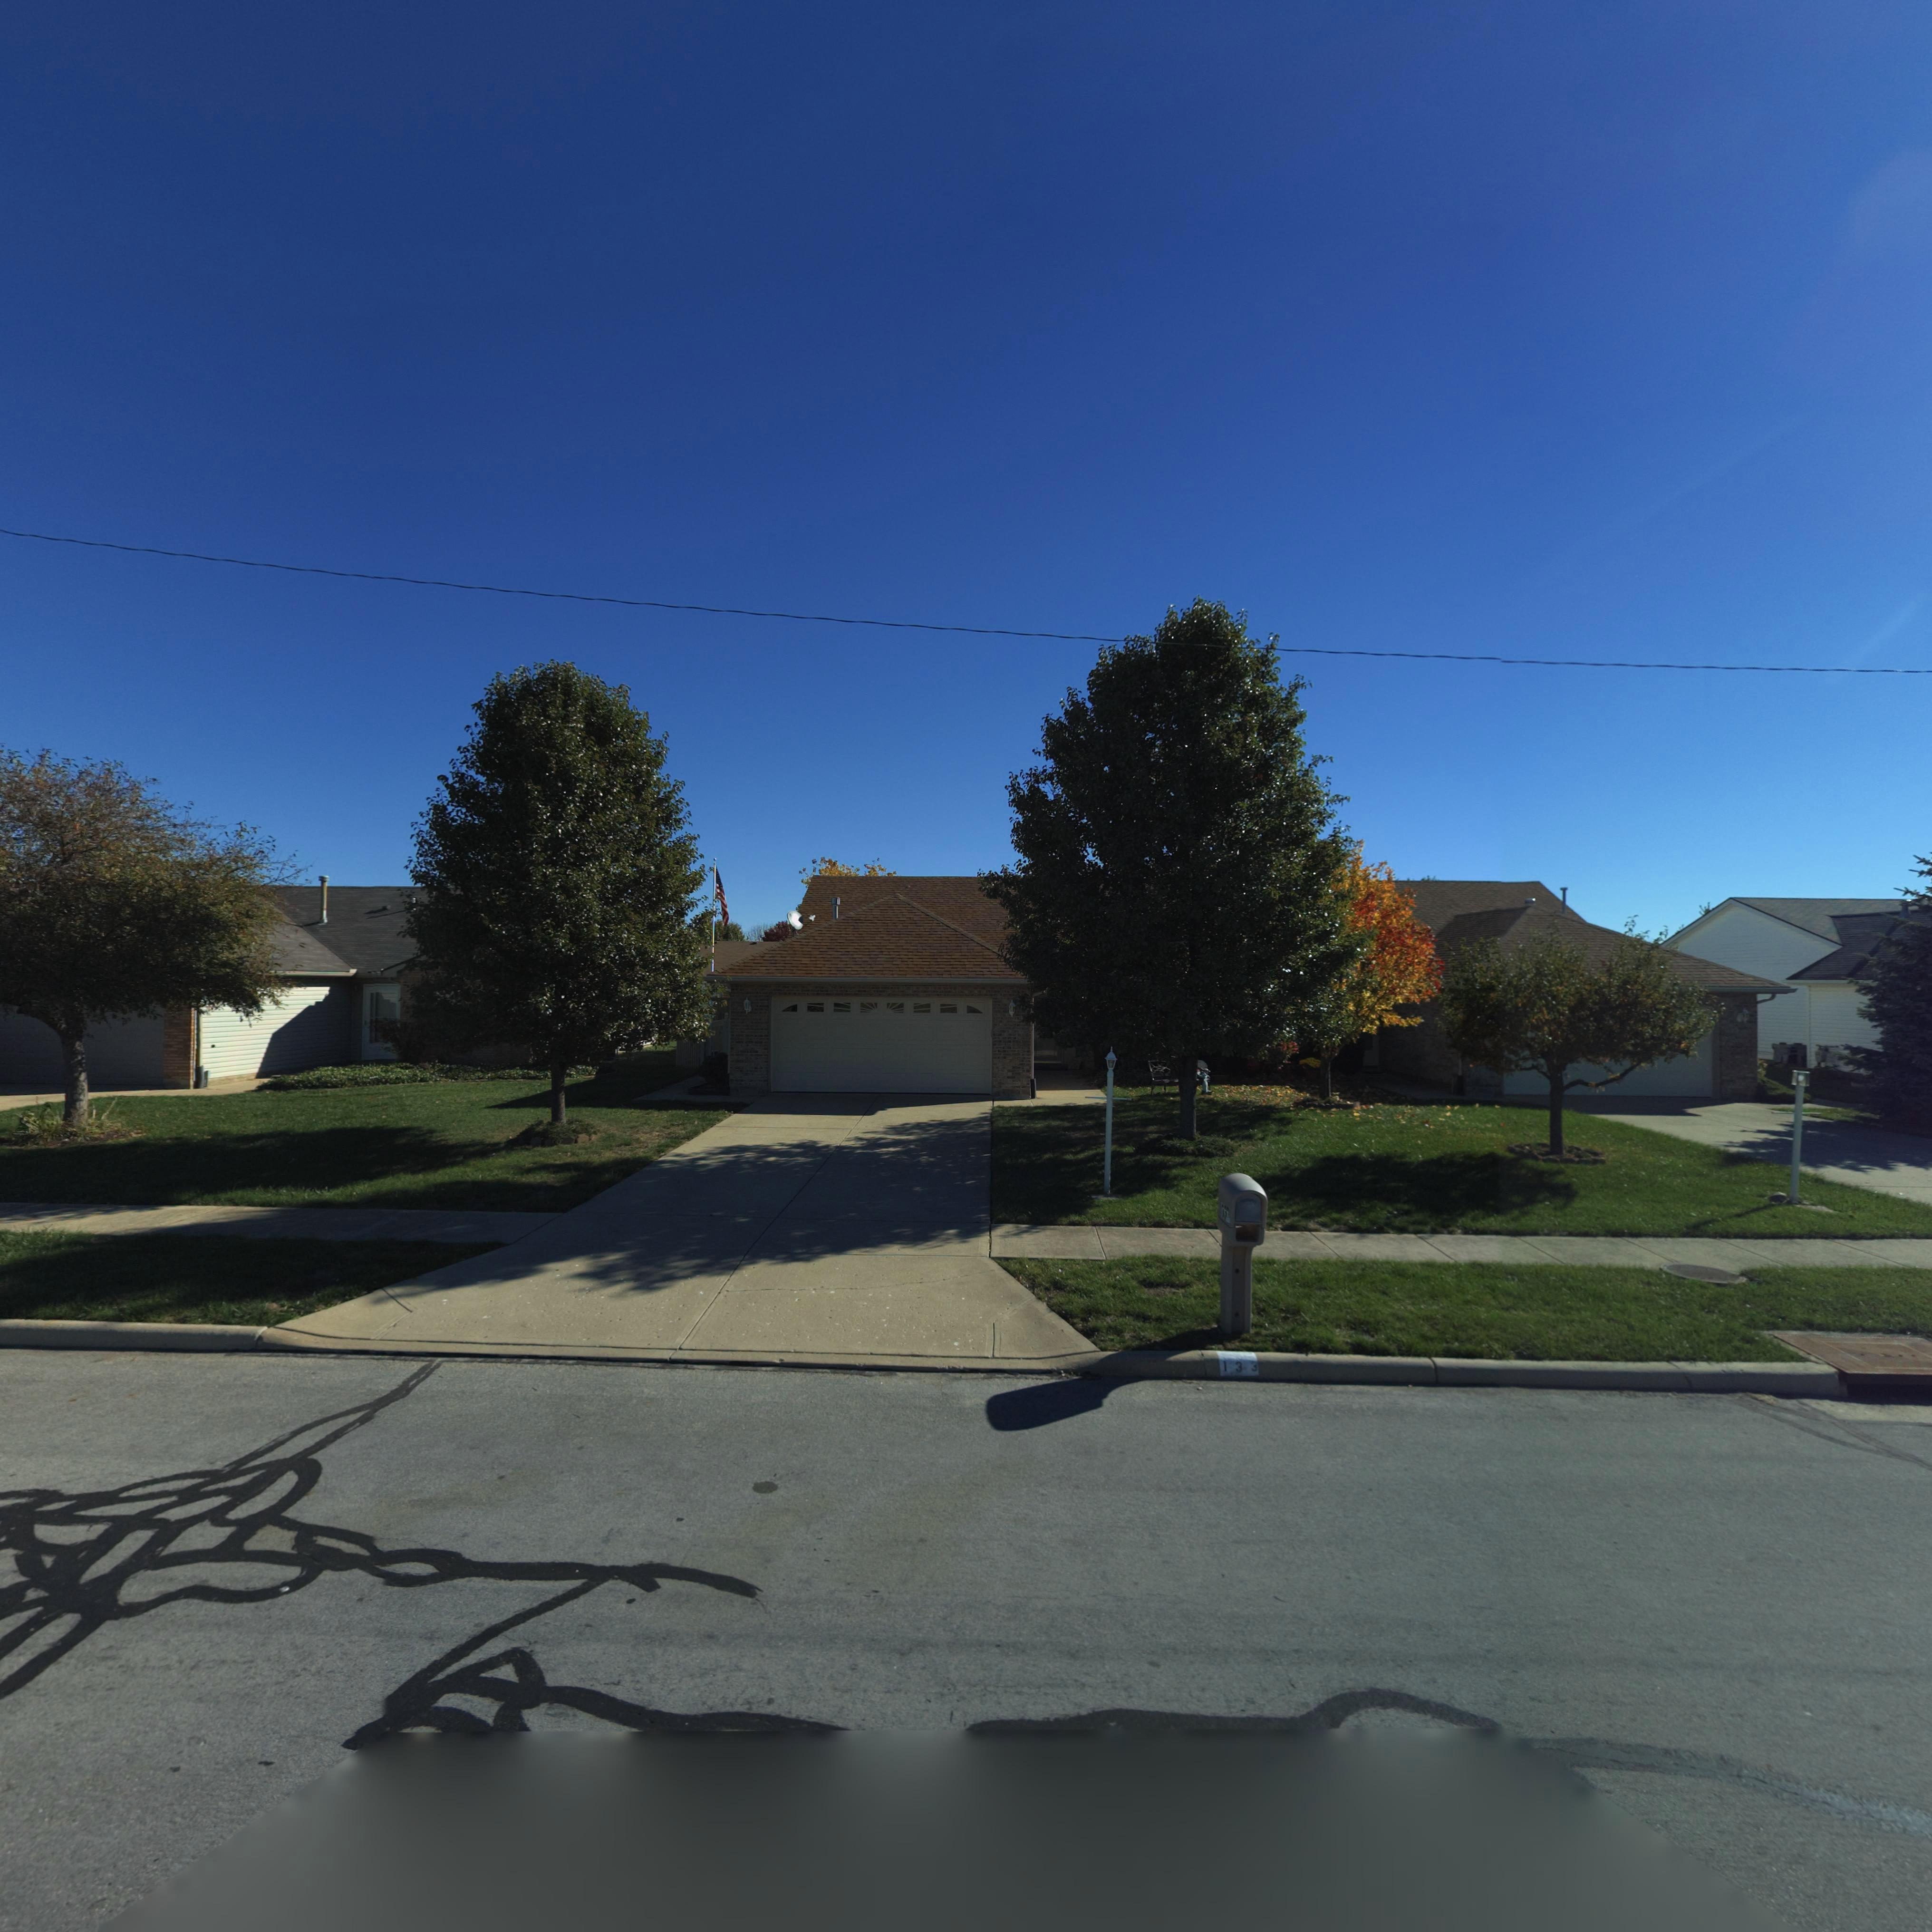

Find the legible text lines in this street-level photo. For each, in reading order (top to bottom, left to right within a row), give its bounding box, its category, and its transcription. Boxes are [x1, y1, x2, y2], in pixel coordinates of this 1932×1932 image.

[1221, 1202, 1227, 1222] StreetNumber: 13
[1222, 1360, 1258, 1372] StreetNumber: 133